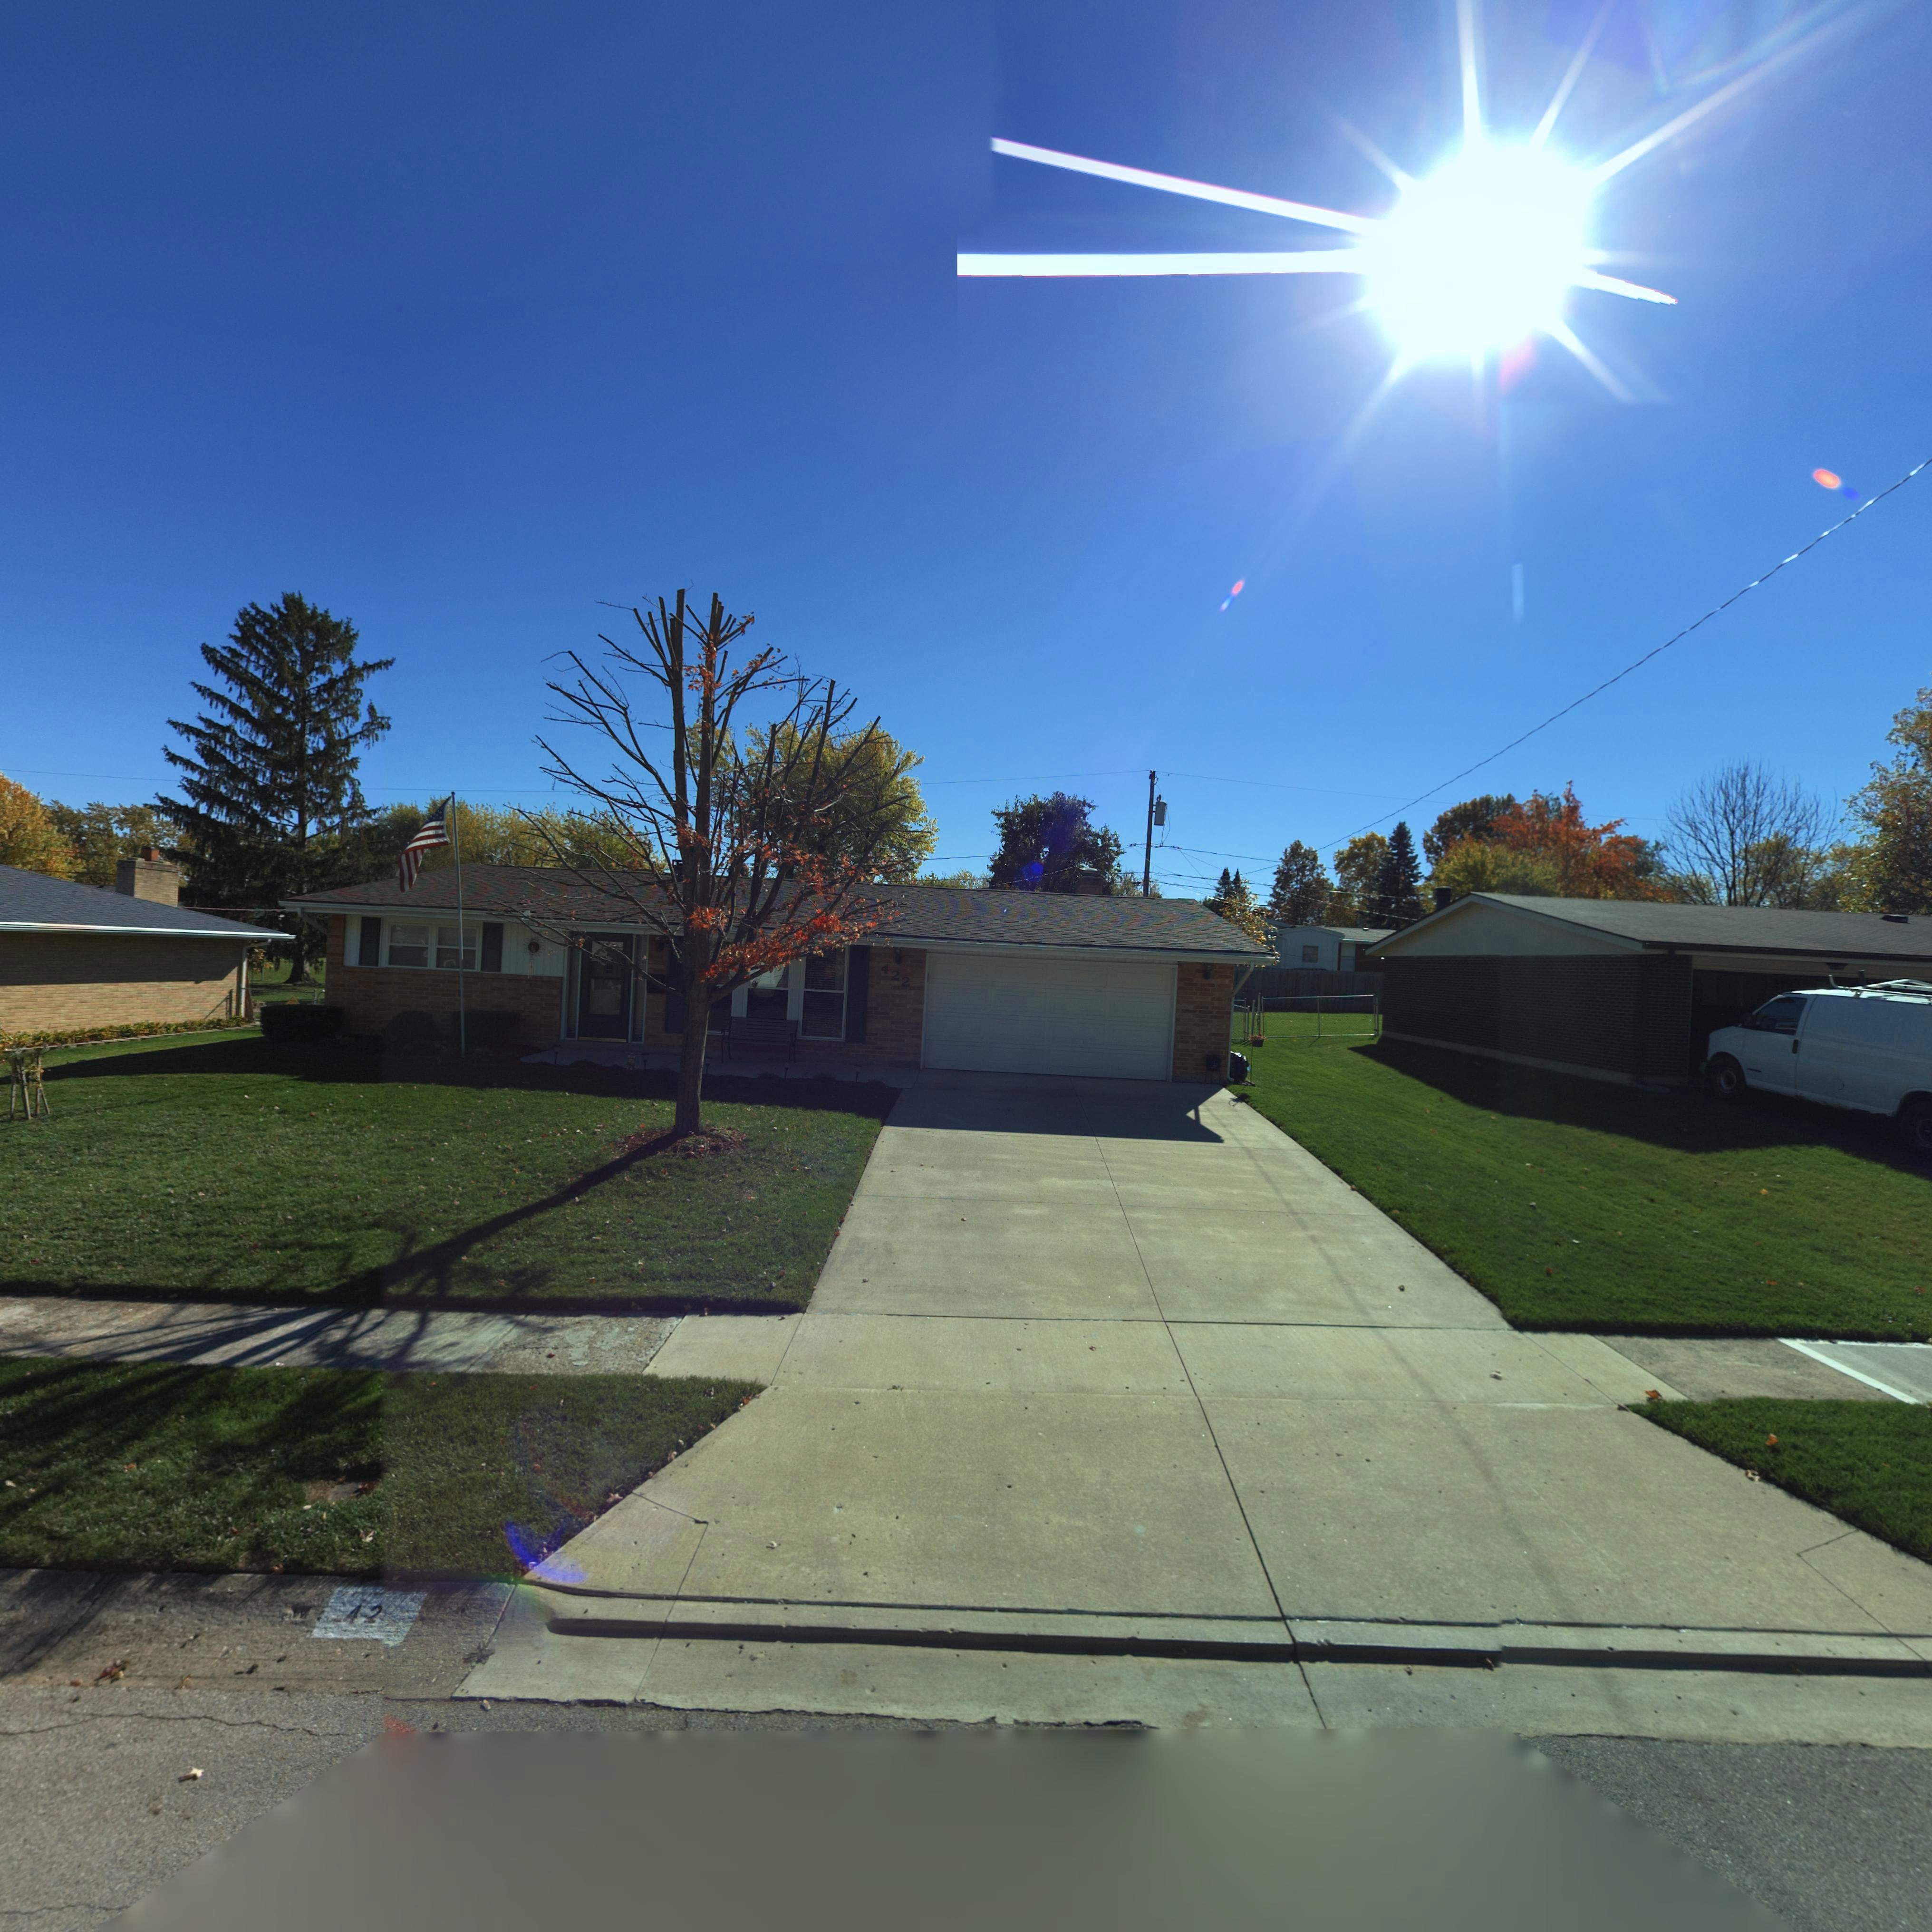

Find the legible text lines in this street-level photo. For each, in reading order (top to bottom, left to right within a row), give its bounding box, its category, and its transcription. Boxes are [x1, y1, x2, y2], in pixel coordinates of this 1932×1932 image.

[879, 963, 911, 988] StreetNumber: 422
[344, 1603, 384, 1626] StreetNumber: 42